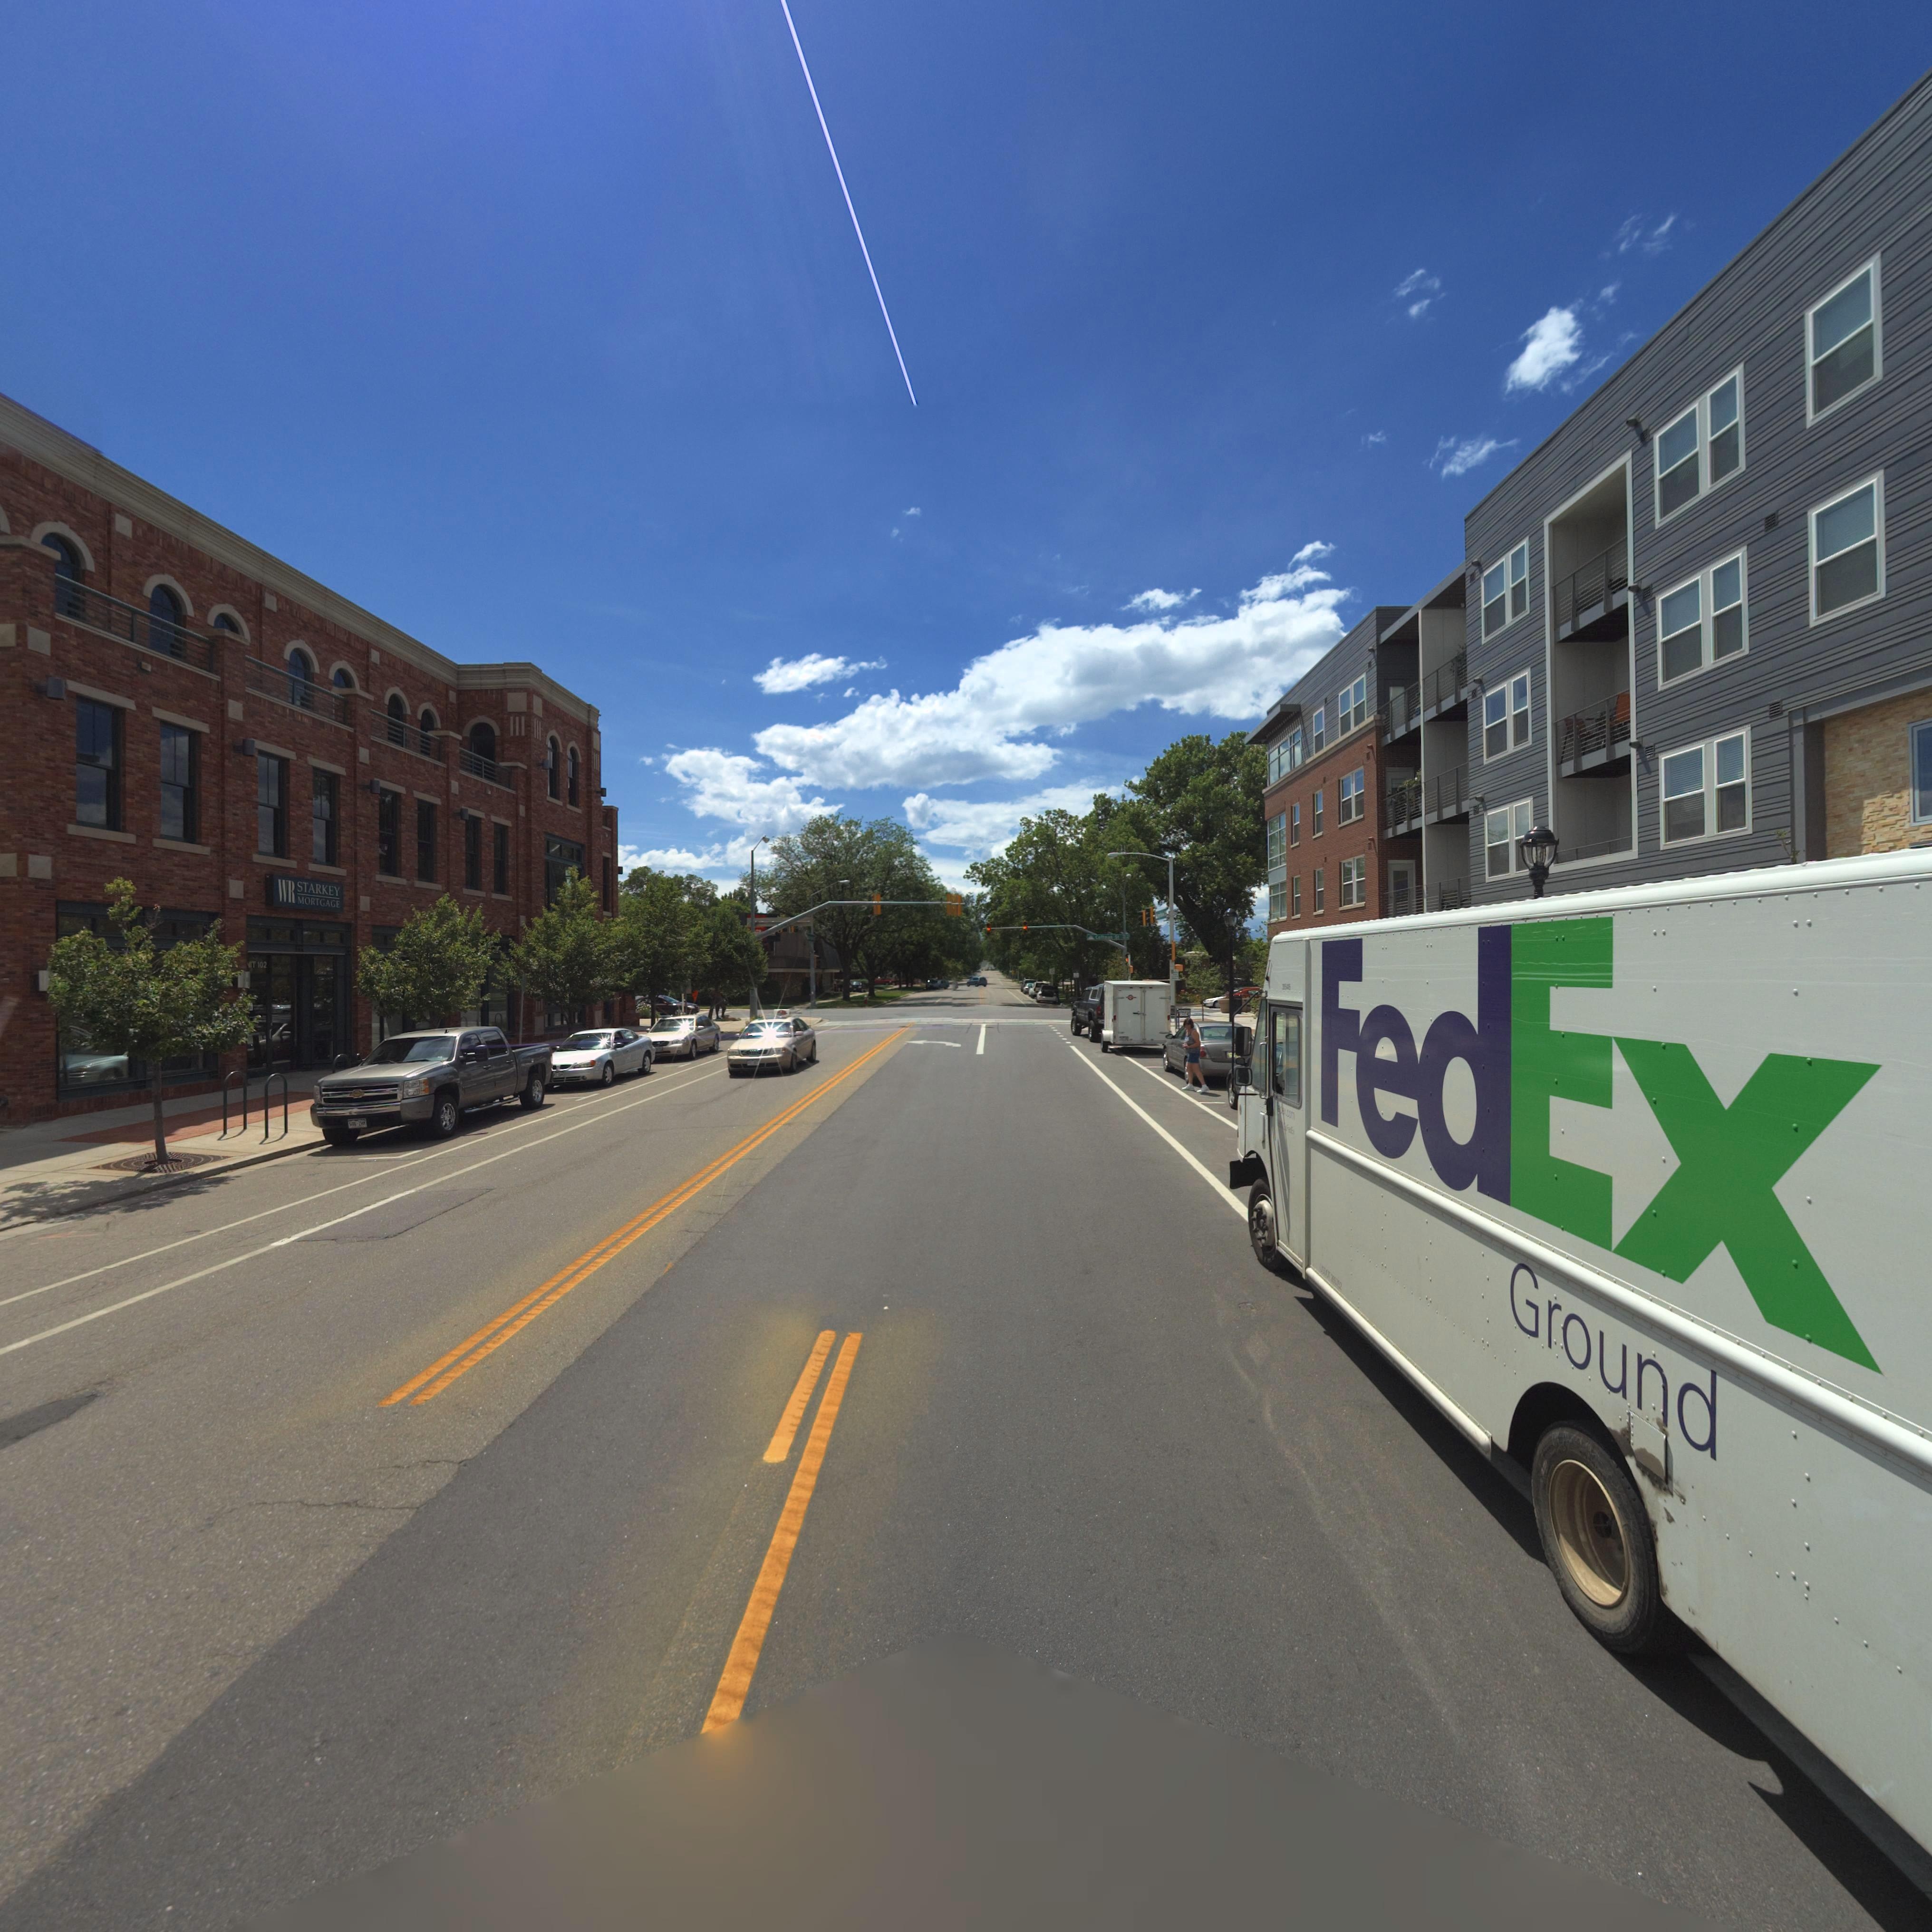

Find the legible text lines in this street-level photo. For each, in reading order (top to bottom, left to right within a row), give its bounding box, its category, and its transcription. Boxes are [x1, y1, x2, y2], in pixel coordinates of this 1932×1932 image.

[297, 881, 340, 896] BusinessName: STARKEY
[298, 896, 340, 908] BusinessName: MORTGAGE
[1095, 934, 1120, 939] BusinessName: Coffman St
[247, 961, 266, 968] SecondaryUnitDesignator: NIT 102